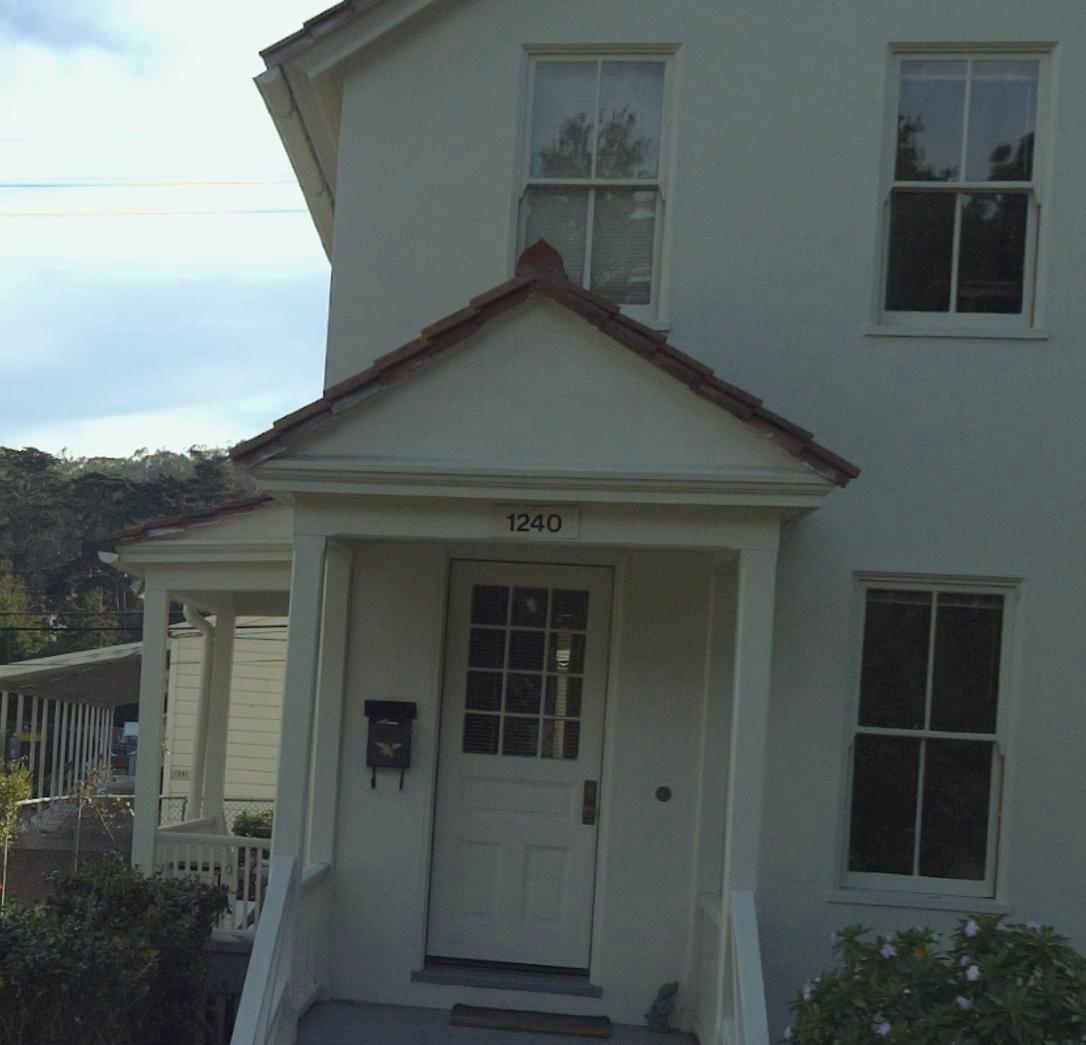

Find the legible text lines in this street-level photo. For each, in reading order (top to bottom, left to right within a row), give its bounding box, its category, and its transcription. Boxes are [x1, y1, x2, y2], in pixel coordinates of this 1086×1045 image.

[505, 511, 564, 535] StreetNumber: 1240
[173, 769, 187, 778] StreetNumber: 124*